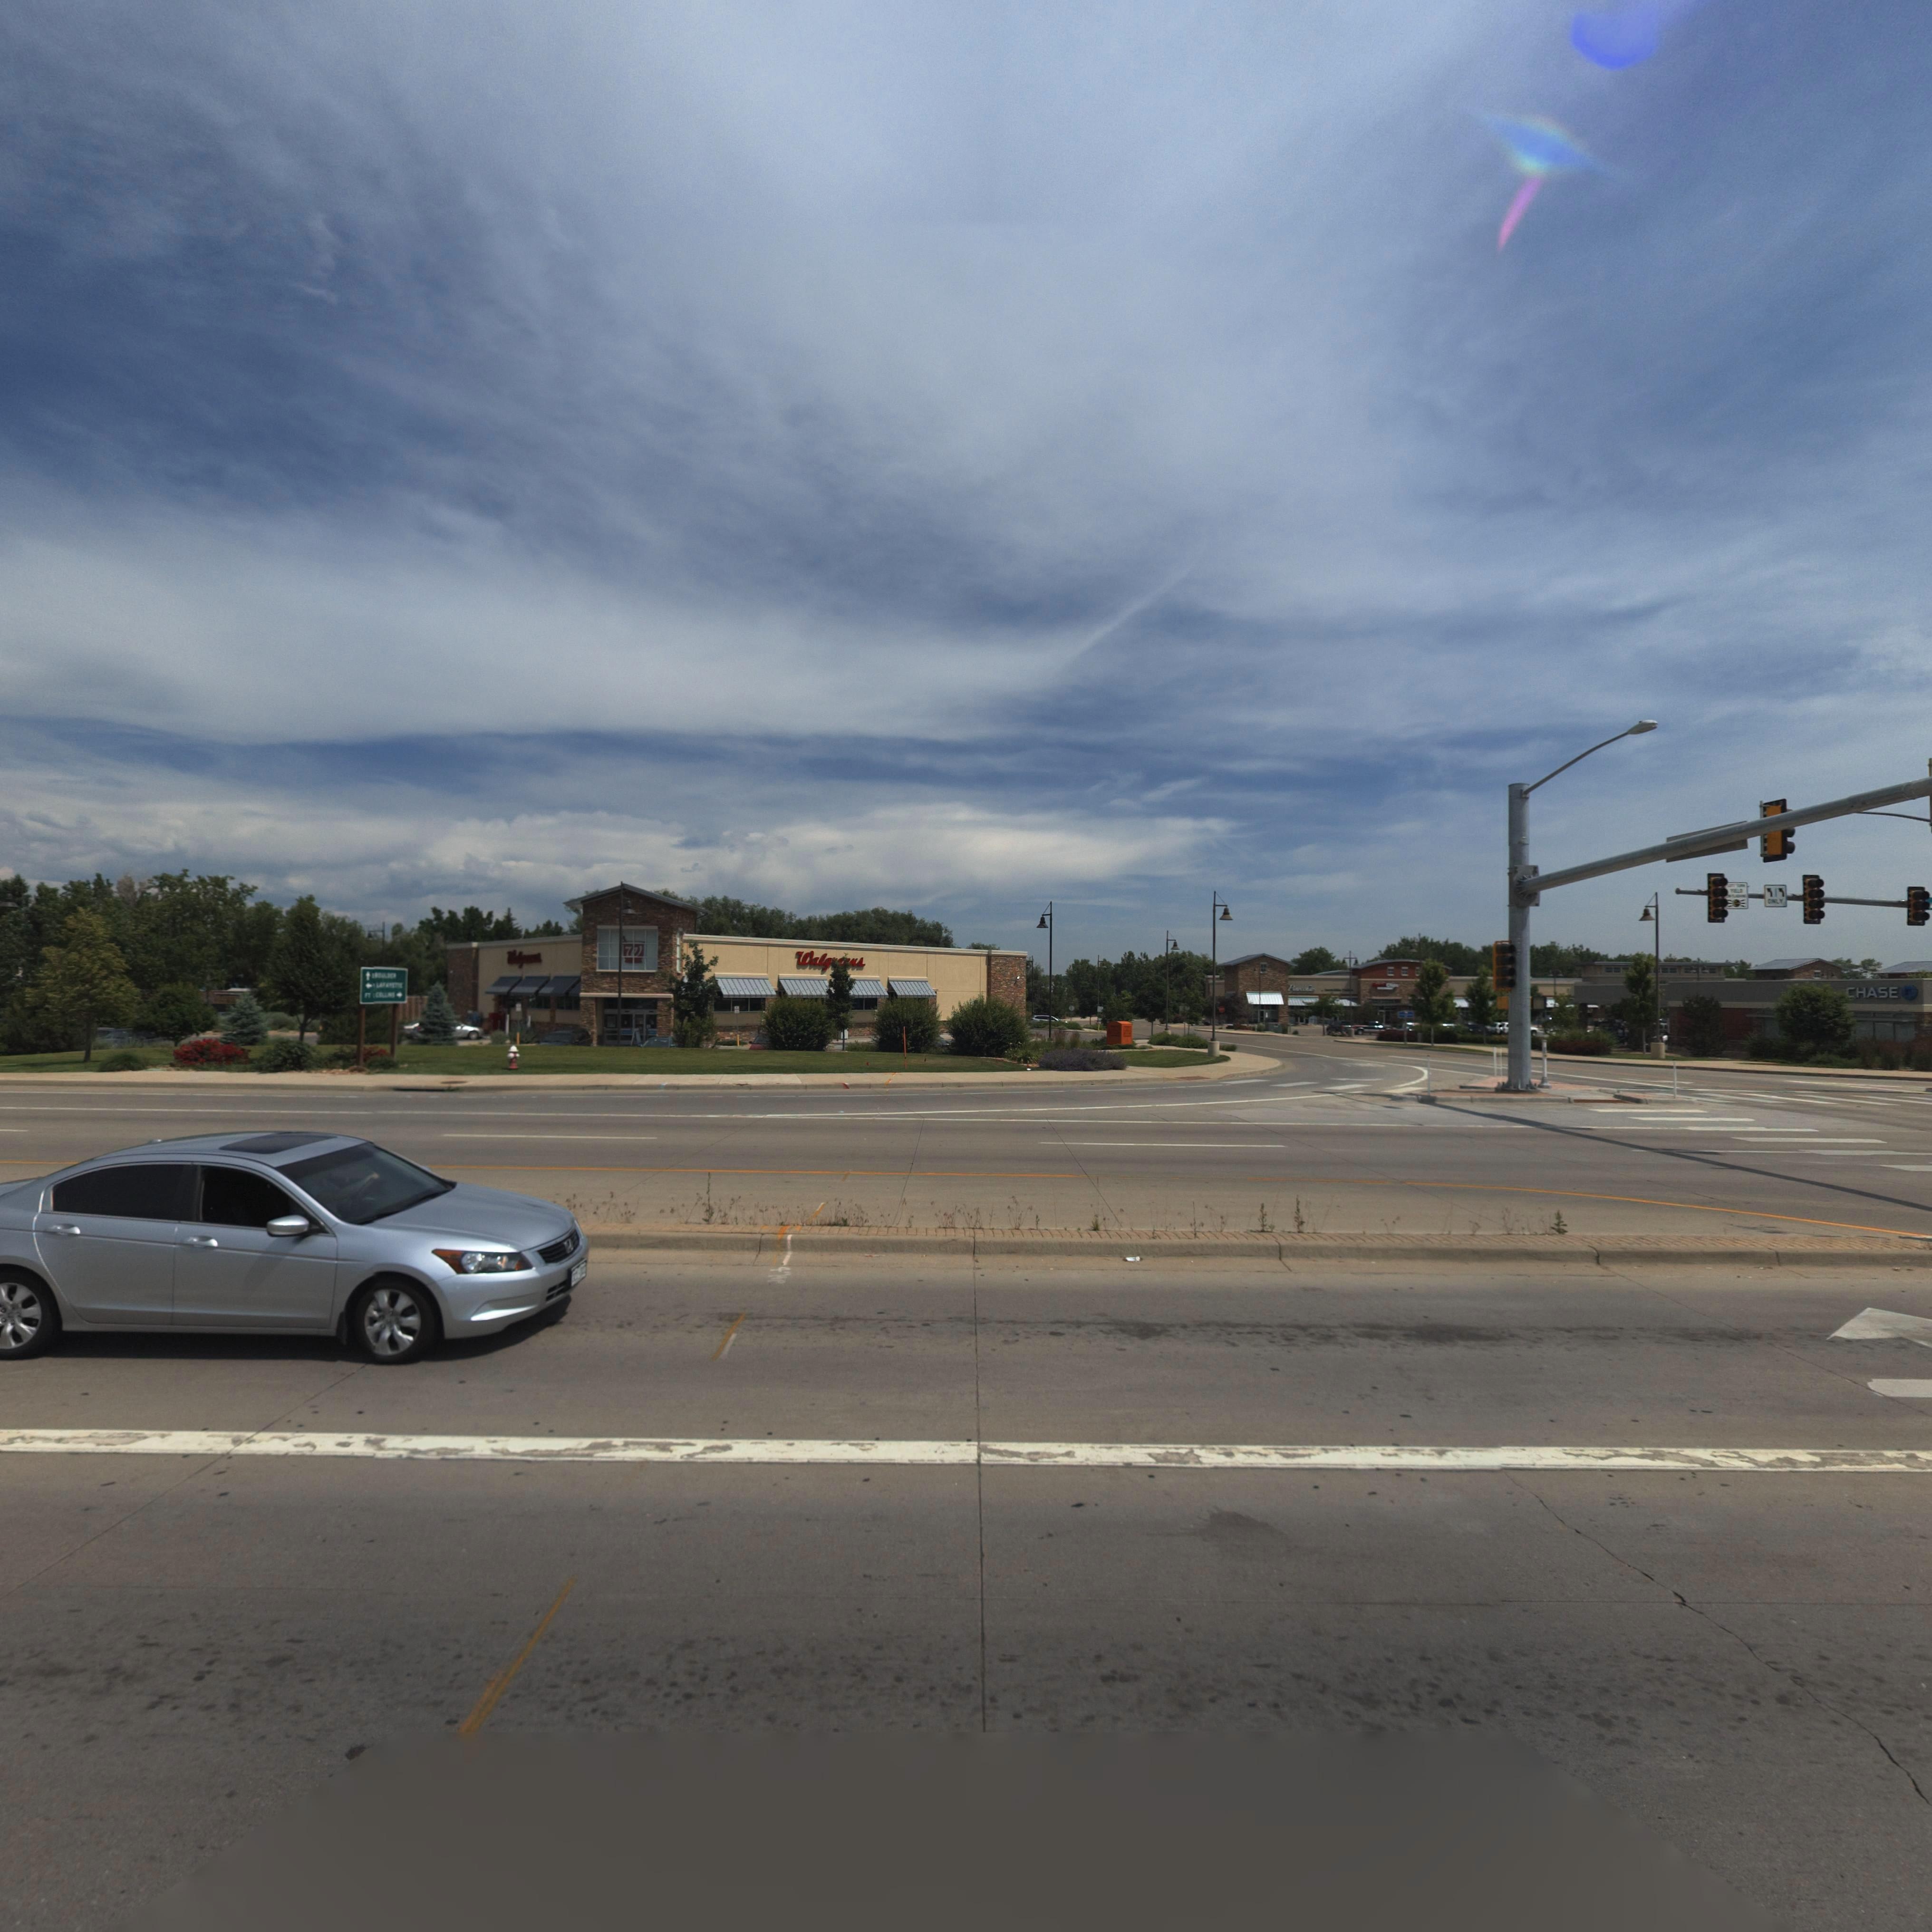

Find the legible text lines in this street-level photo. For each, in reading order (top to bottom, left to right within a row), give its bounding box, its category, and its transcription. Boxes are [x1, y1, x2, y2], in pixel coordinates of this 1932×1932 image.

[624, 945, 643, 958] BusinessName: W
[795, 950, 866, 971] BusinessName: Walg***ns
[1286, 984, 1316, 992] BusinessName: Pi*****
[1372, 982, 1399, 988] BusinessName: *****C****
[1845, 986, 1898, 998] BusinessName: CHASE